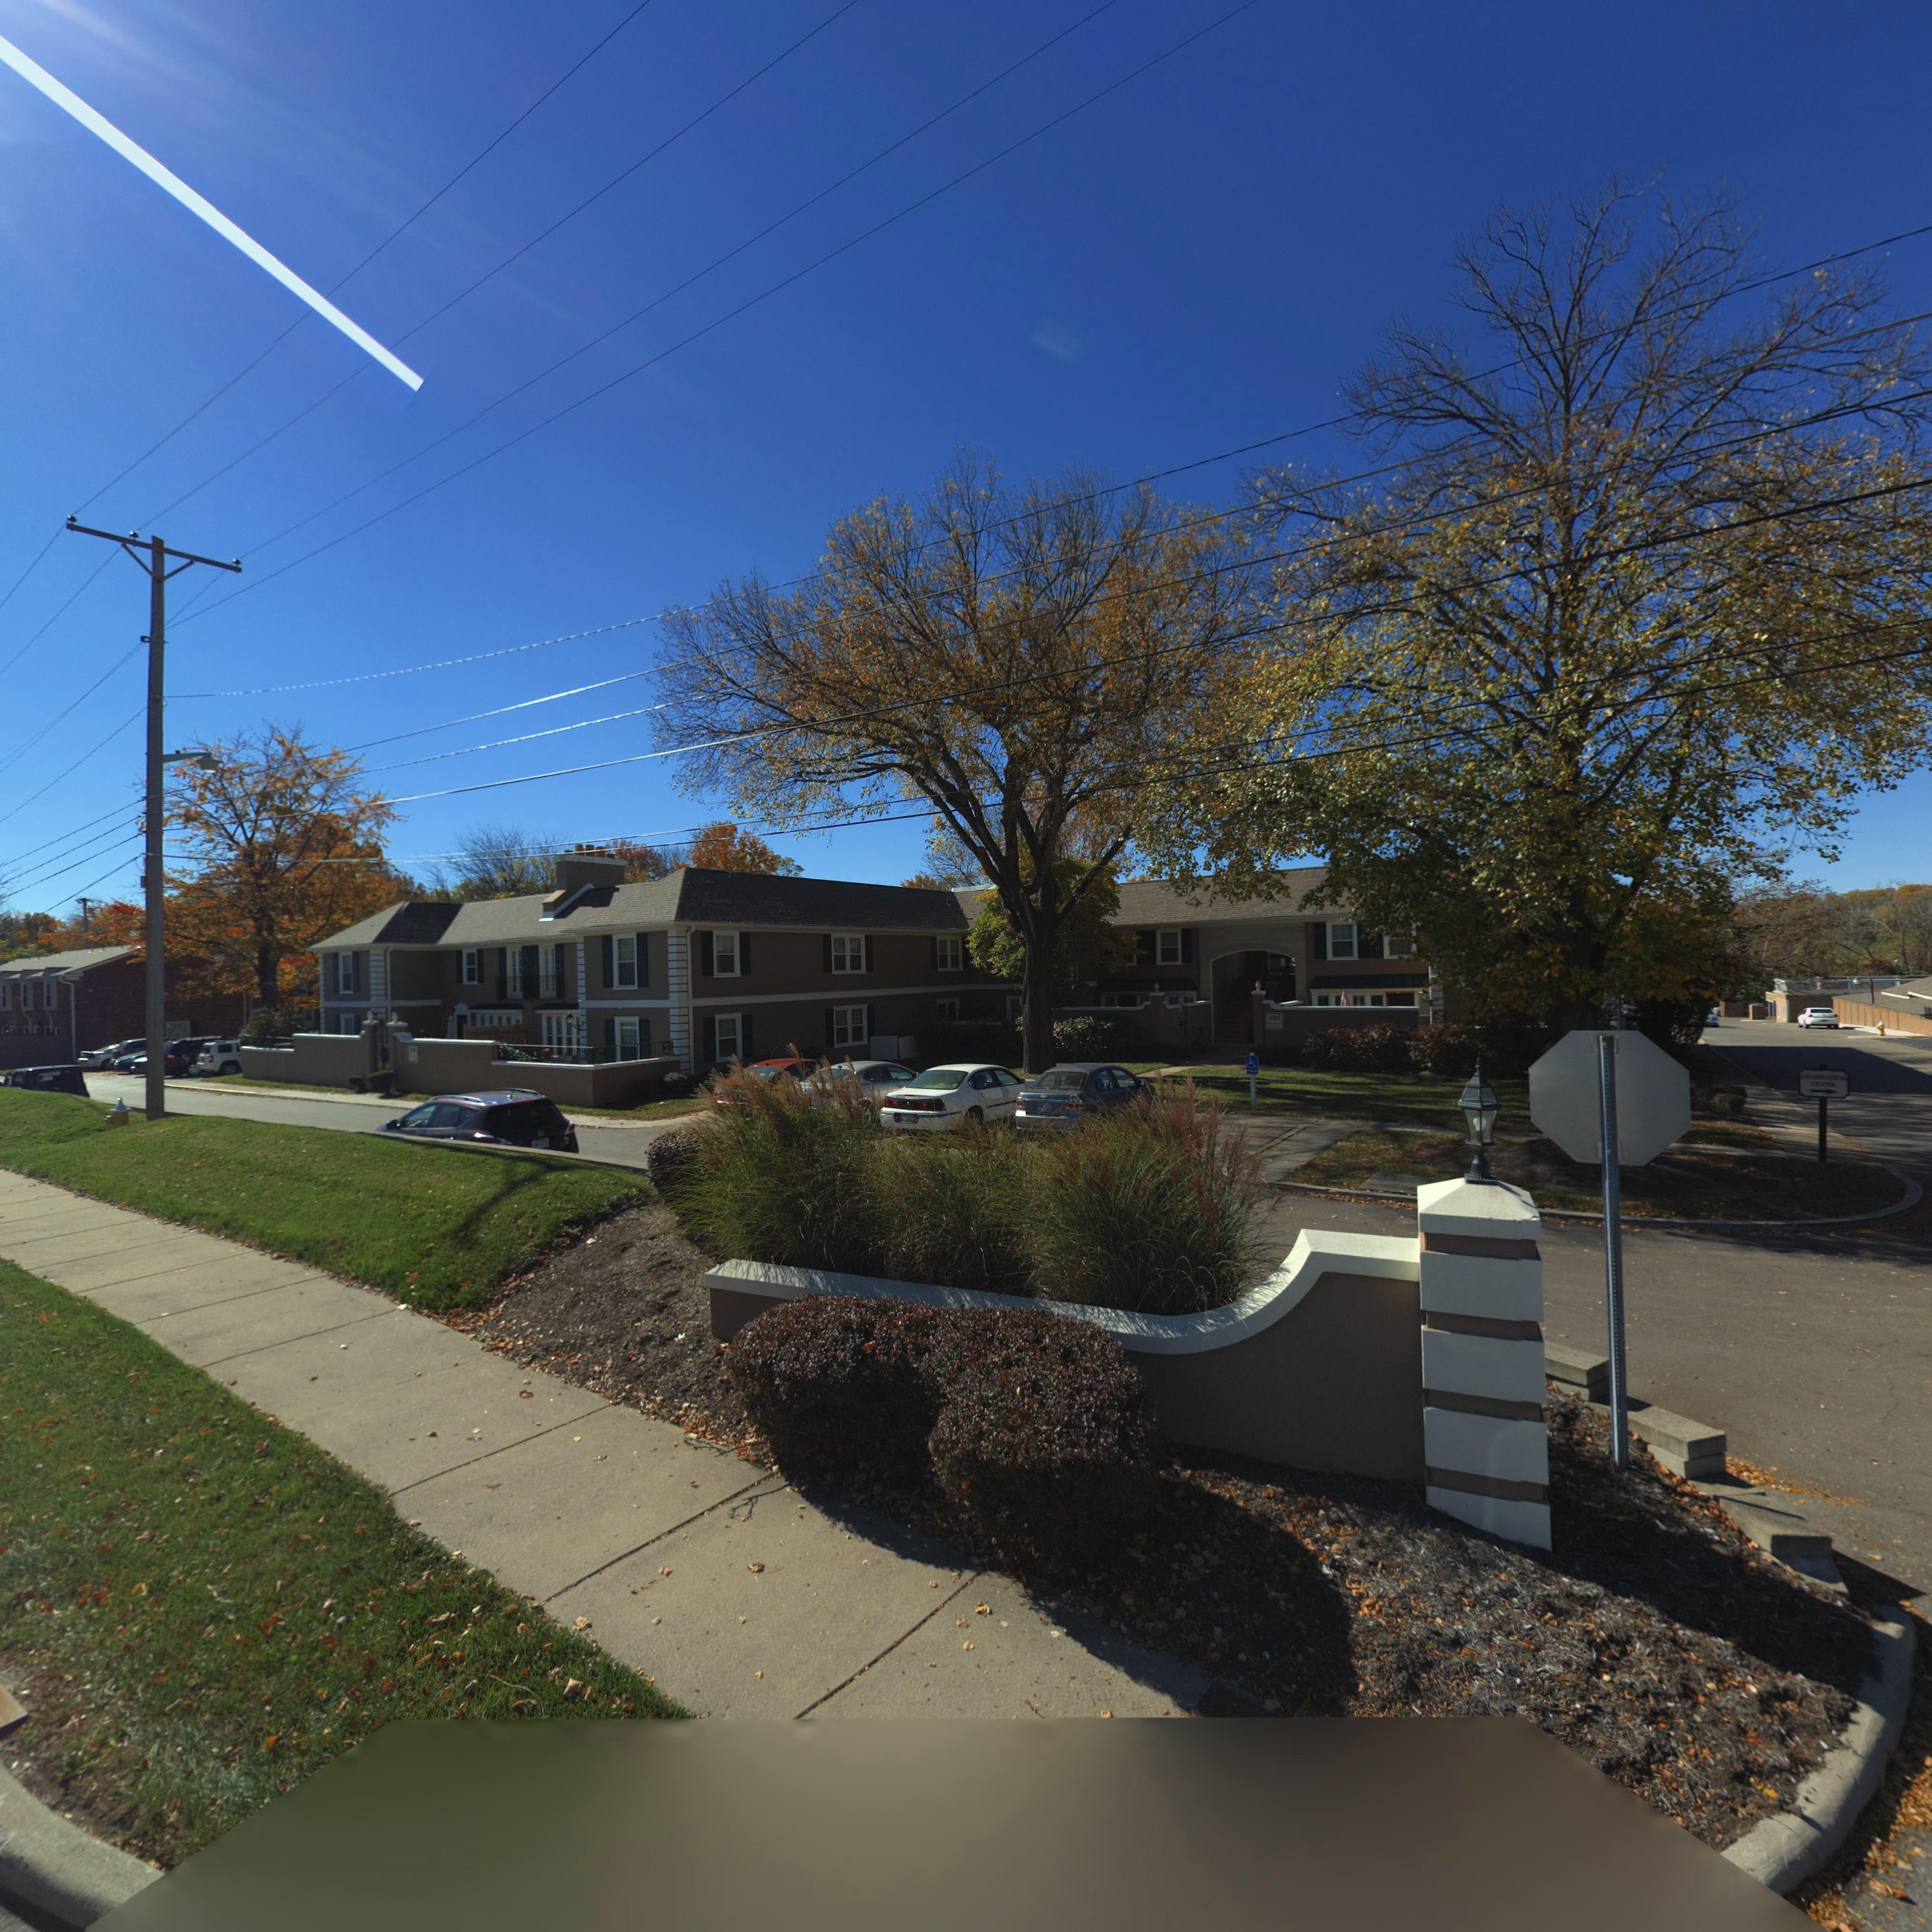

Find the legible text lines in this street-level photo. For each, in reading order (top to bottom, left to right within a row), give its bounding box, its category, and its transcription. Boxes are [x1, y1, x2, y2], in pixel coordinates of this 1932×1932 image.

[1268, 1015, 1281, 1021] StreetNumber: 4901